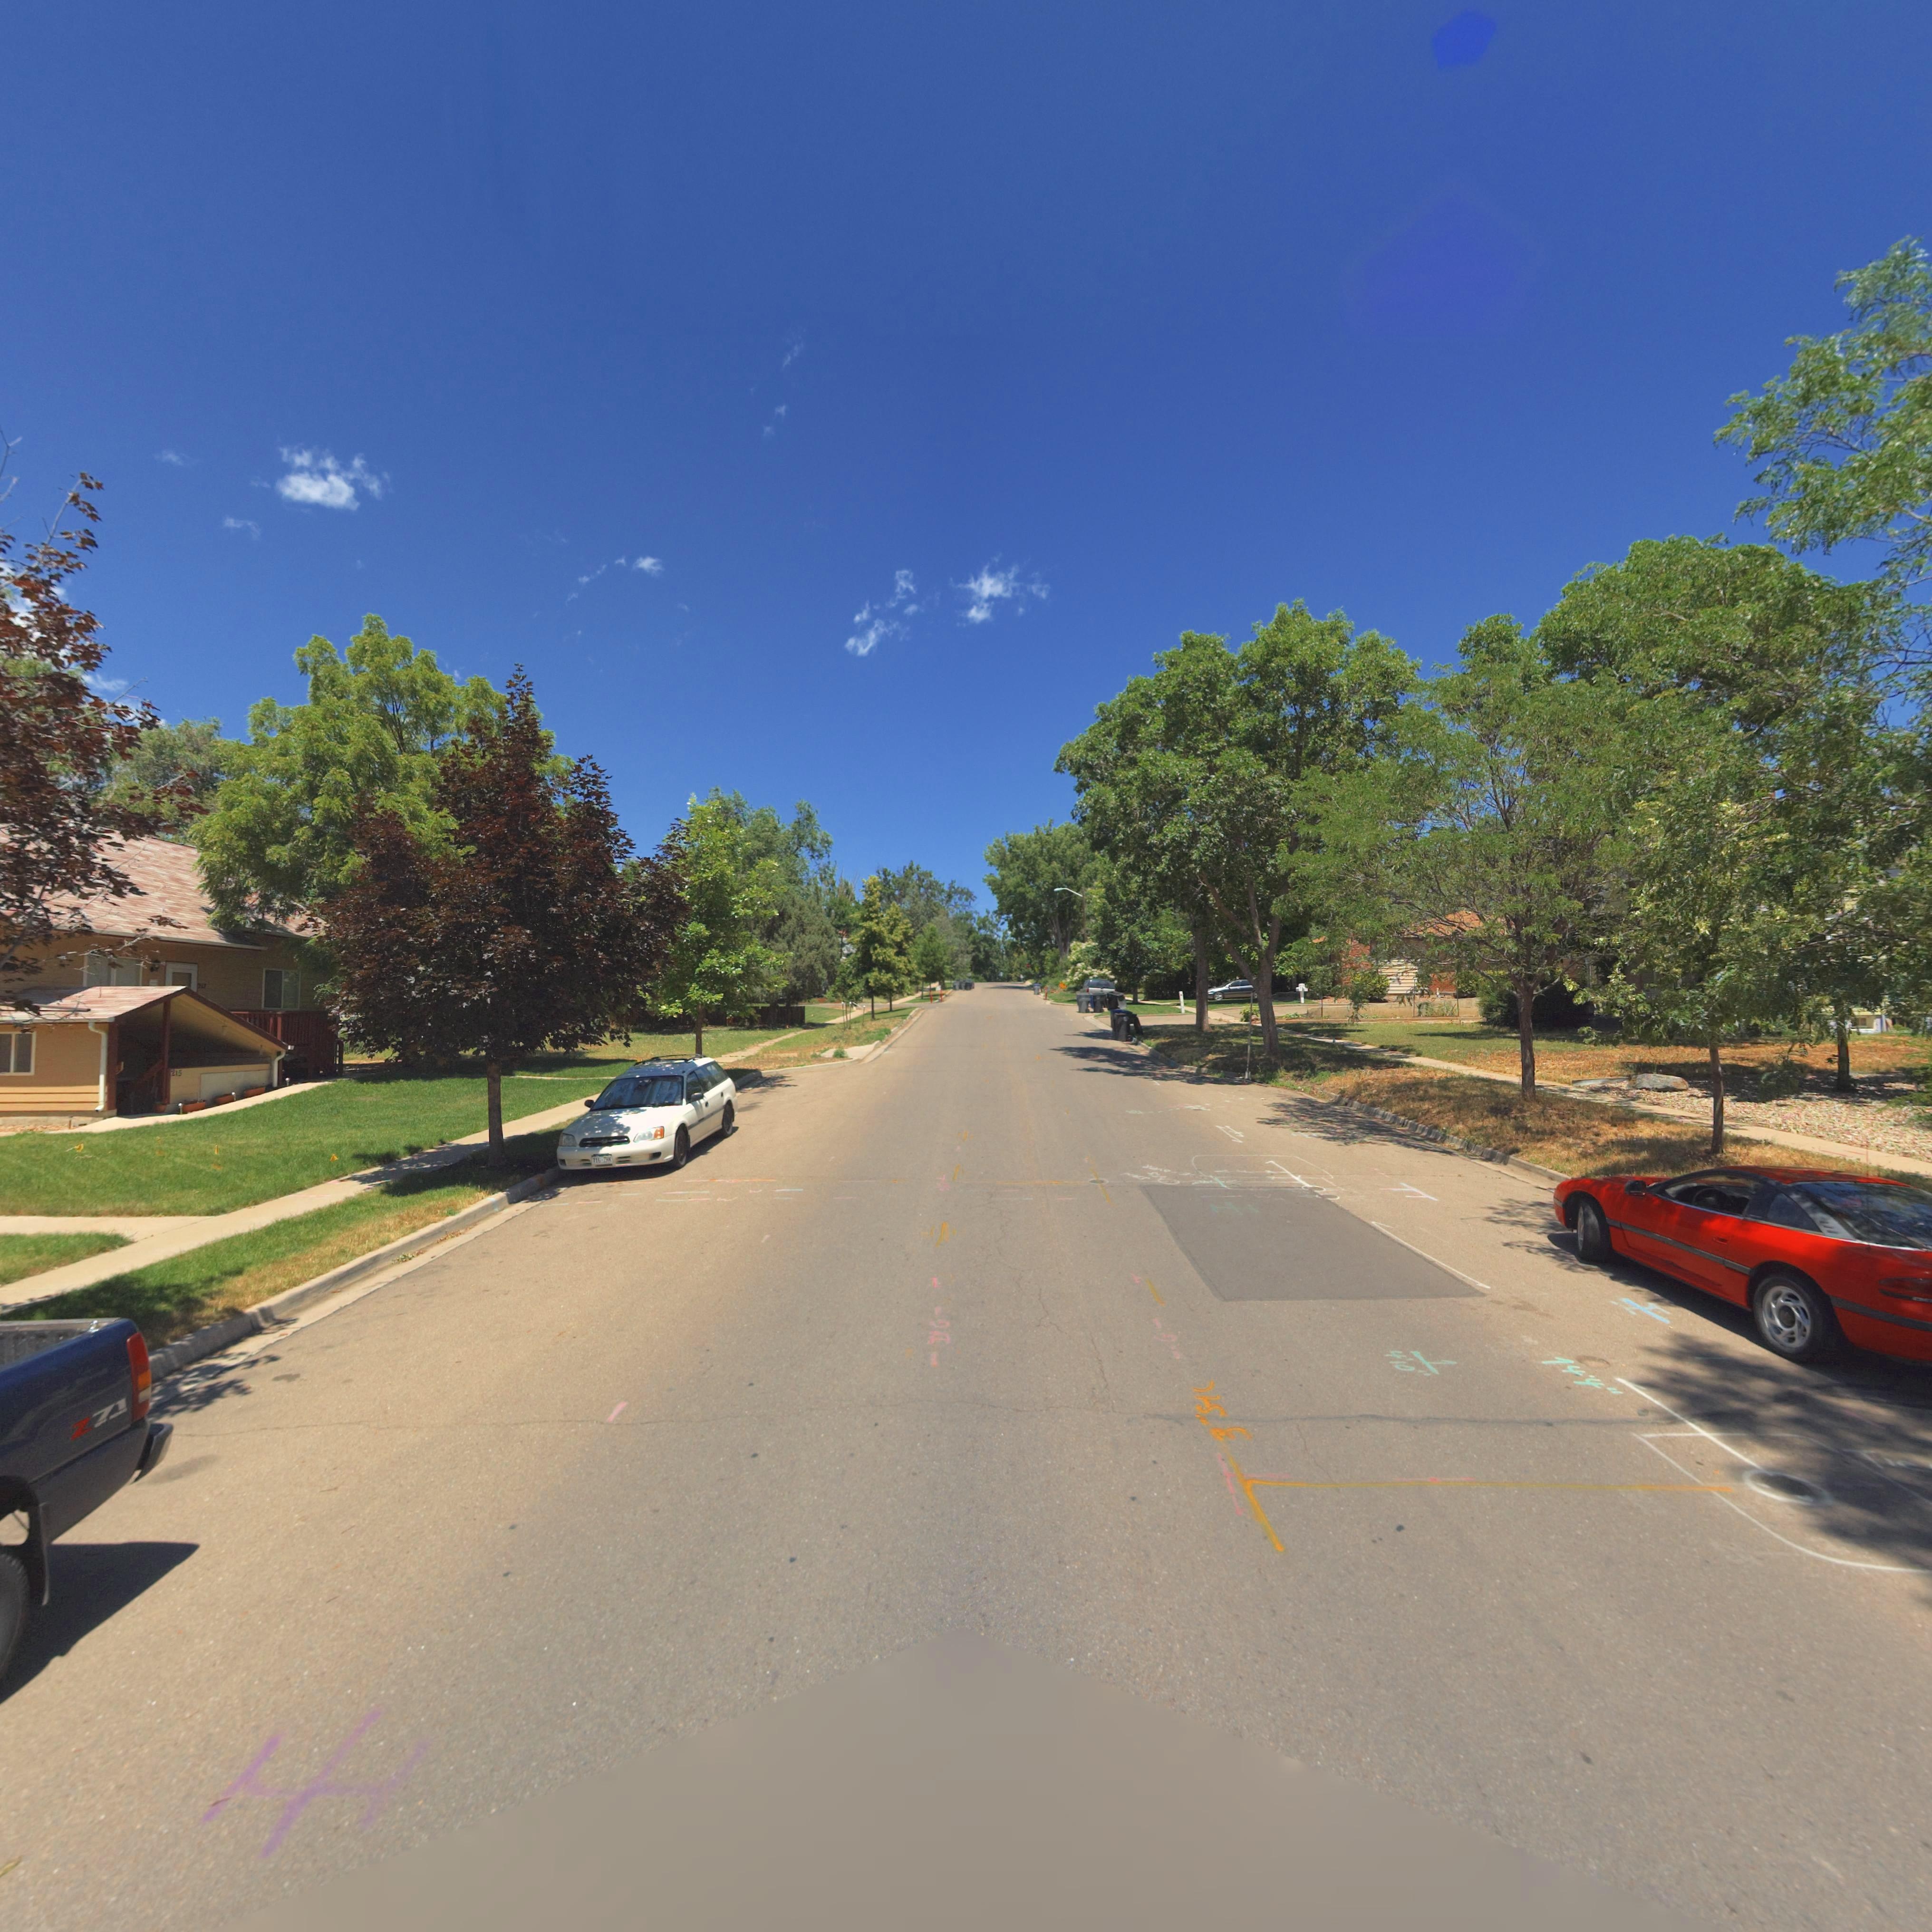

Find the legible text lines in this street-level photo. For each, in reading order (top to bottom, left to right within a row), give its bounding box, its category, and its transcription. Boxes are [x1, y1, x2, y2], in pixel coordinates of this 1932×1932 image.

[196, 983, 206, 988] StreetNumber: 21*
[171, 1069, 183, 1076] StreetNumber: 21*